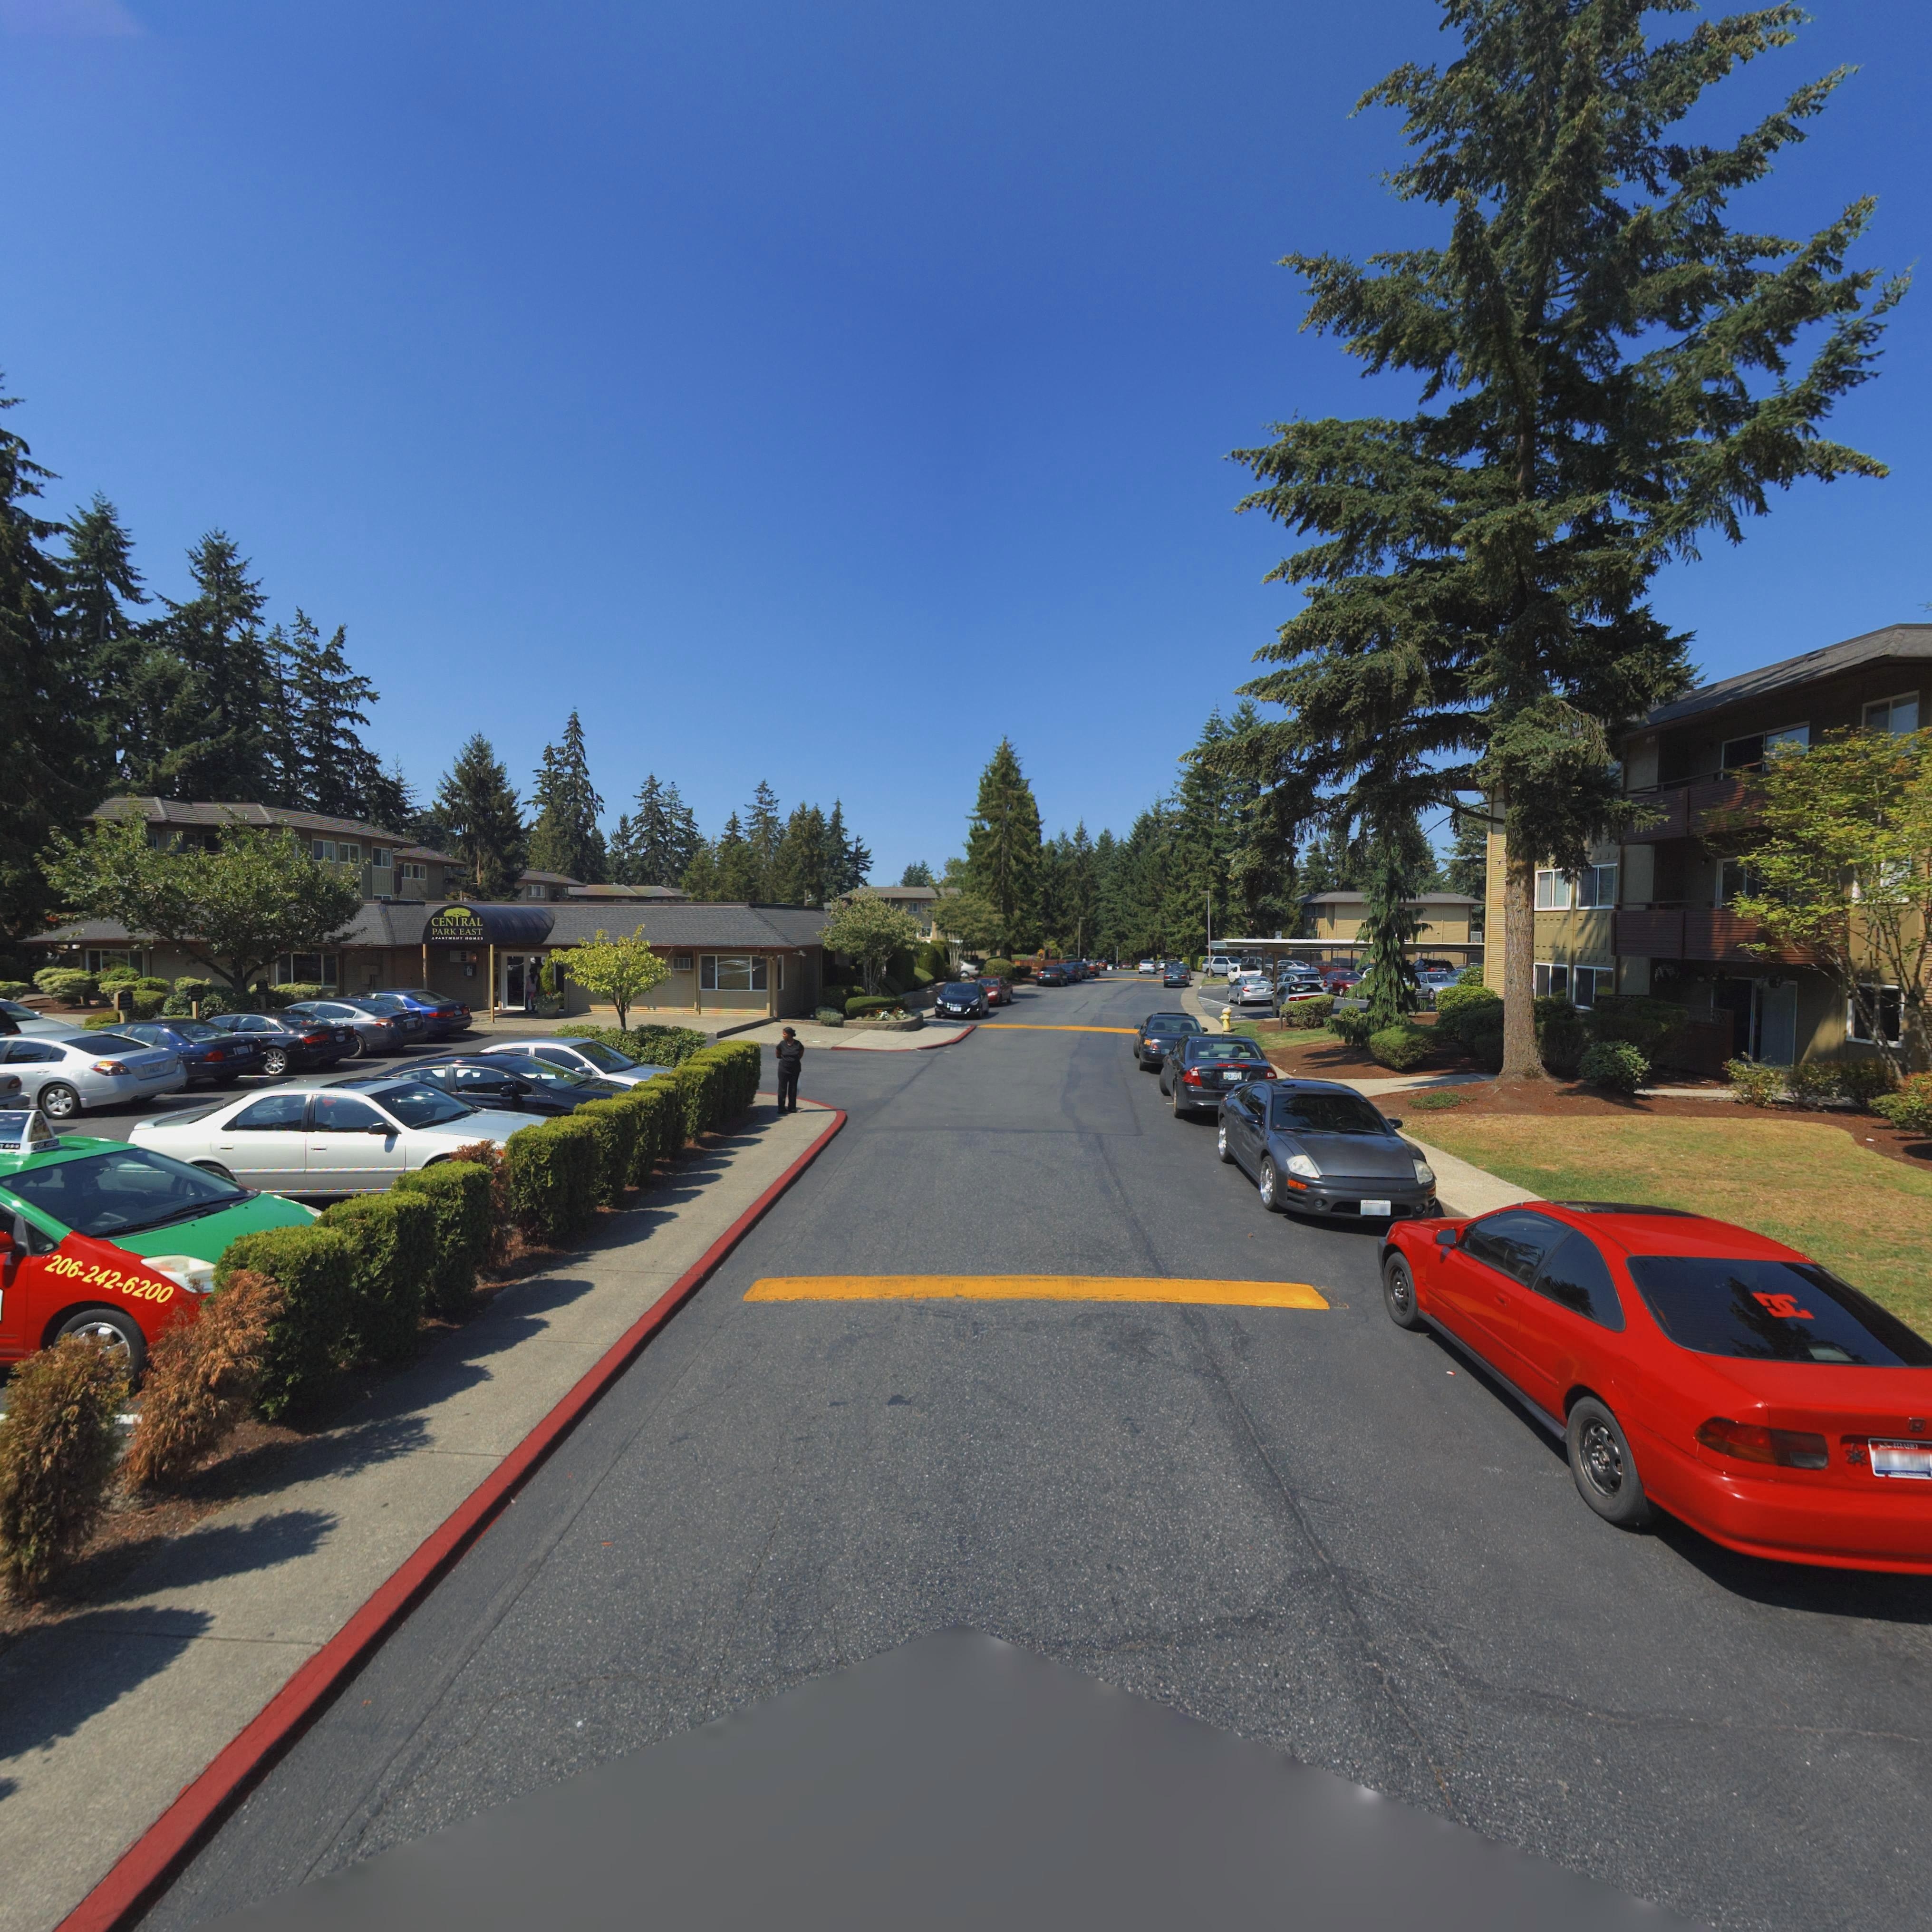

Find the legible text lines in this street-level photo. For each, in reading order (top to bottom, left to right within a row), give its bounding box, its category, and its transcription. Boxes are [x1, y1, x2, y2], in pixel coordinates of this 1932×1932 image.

[431, 917, 483, 926] BusinessName: CEN*RAL
[431, 928, 483, 935] BusinessName: PARK EAST
[431, 936, 483, 940] BusinessName: APARTMENT HOMES